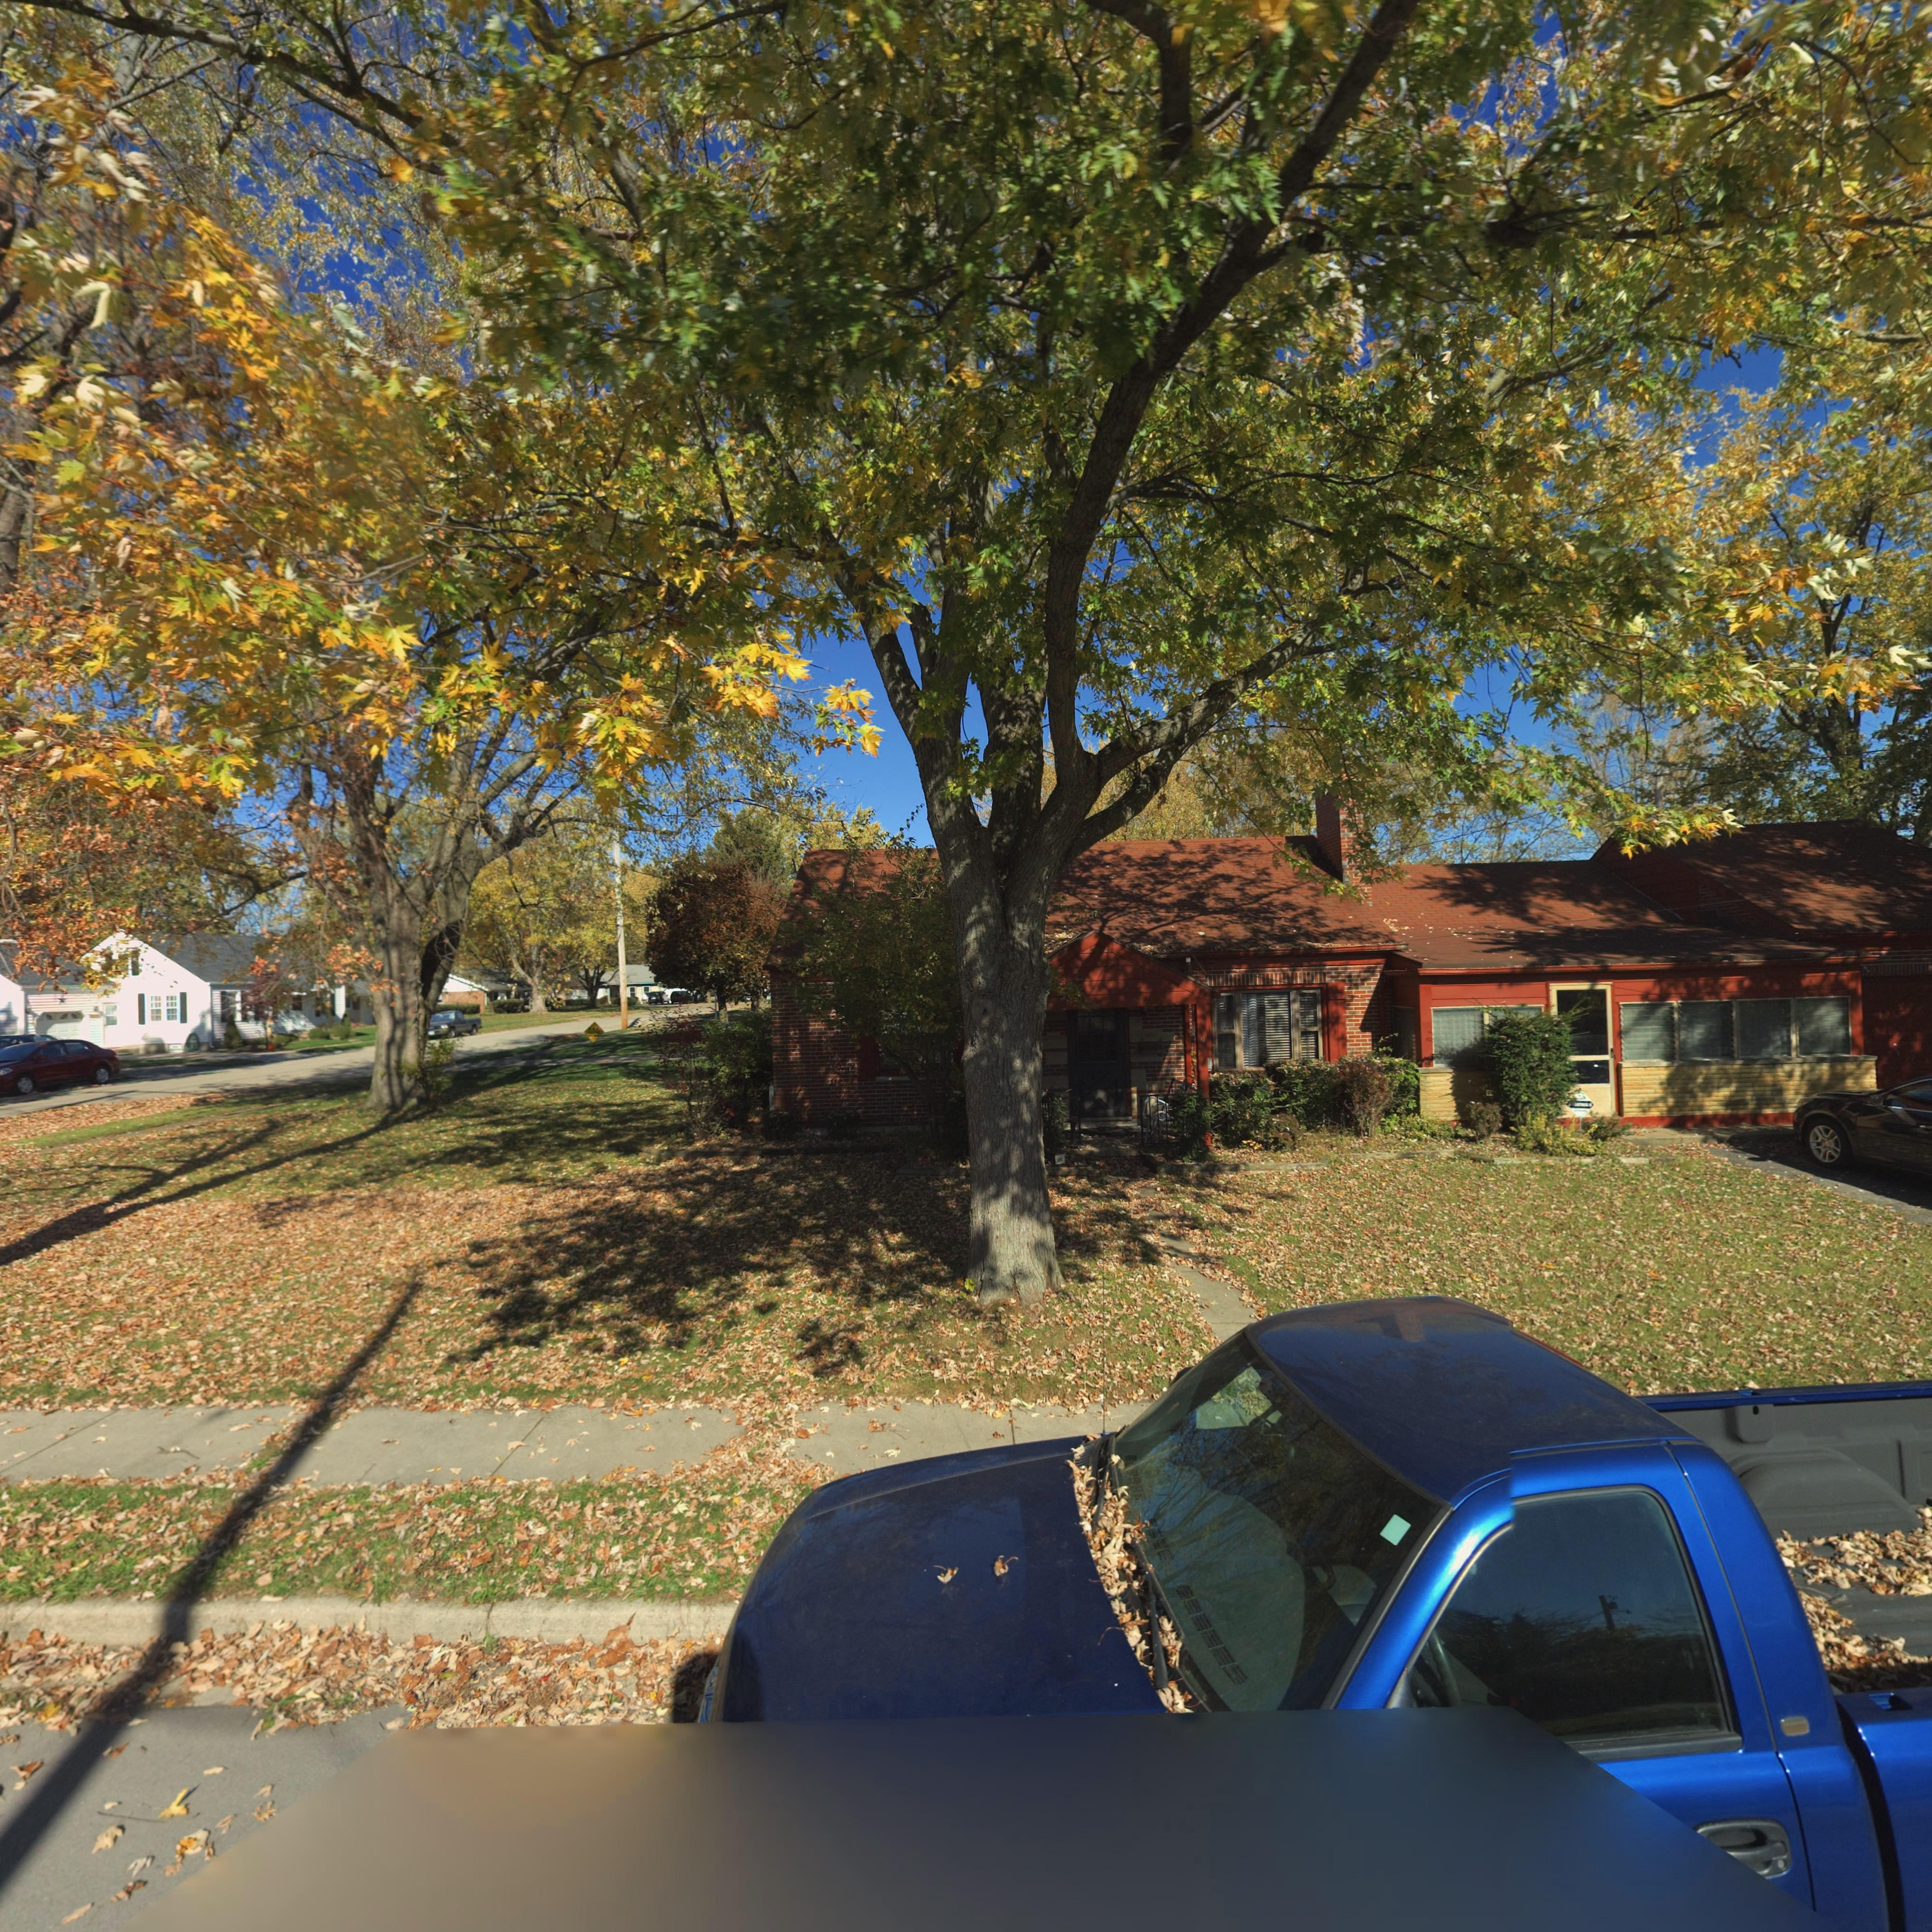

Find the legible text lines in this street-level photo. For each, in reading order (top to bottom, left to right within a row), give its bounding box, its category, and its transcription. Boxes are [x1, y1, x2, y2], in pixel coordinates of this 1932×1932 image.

[1200, 1037, 1205, 1043] StreetNumber: 9